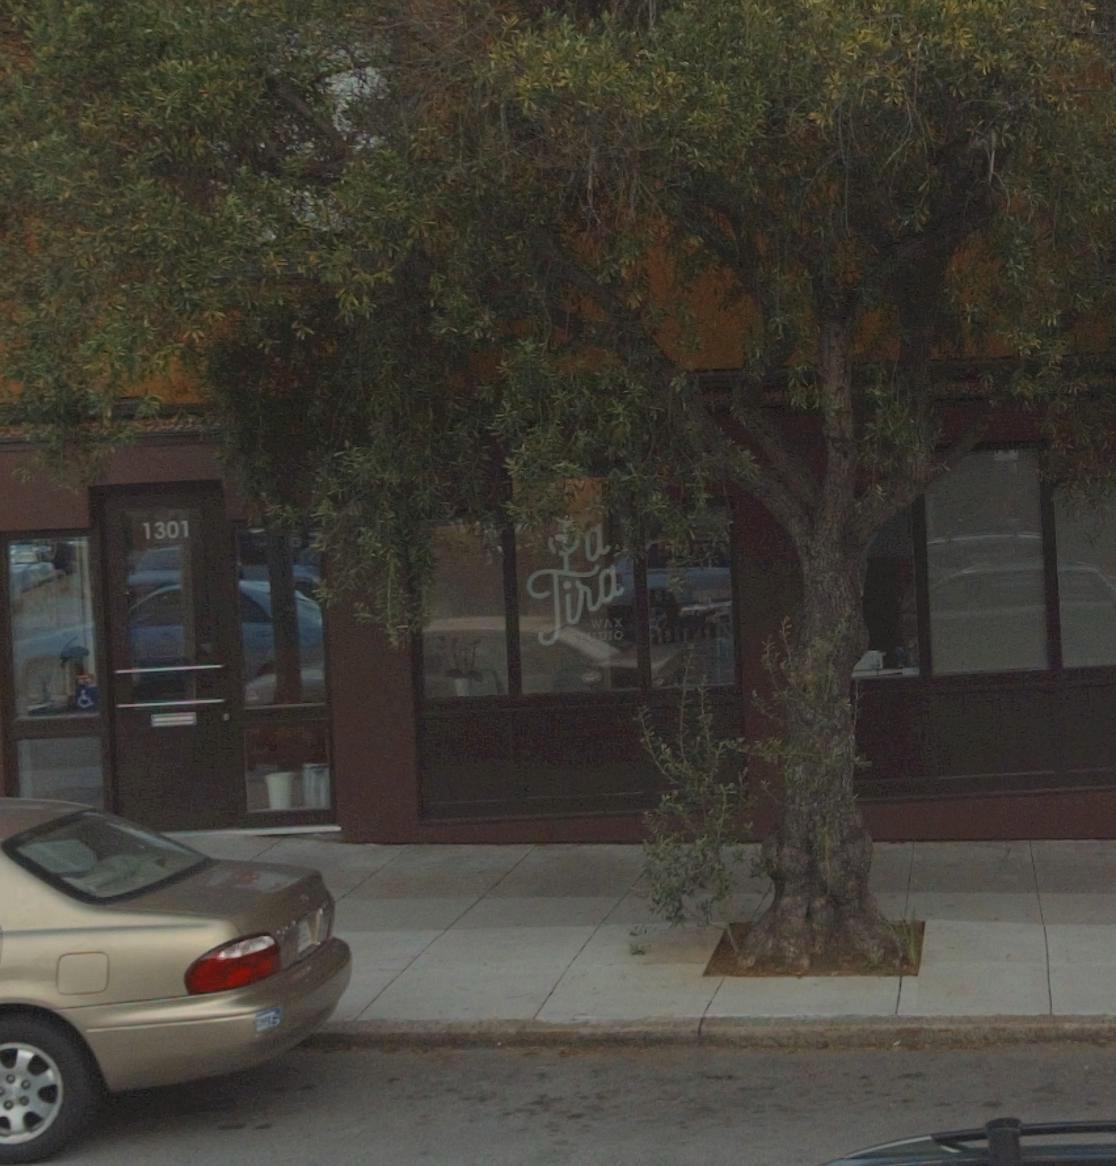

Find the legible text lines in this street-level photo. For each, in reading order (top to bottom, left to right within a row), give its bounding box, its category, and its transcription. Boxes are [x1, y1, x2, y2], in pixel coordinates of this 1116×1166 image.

[139, 519, 191, 540] StreetNumber: 1301
[526, 521, 614, 601] BusinessName: La
[526, 562, 628, 648] BusinessName: Tira
[590, 617, 624, 629] None: WAX
[567, 630, 625, 644] None: STUDIO